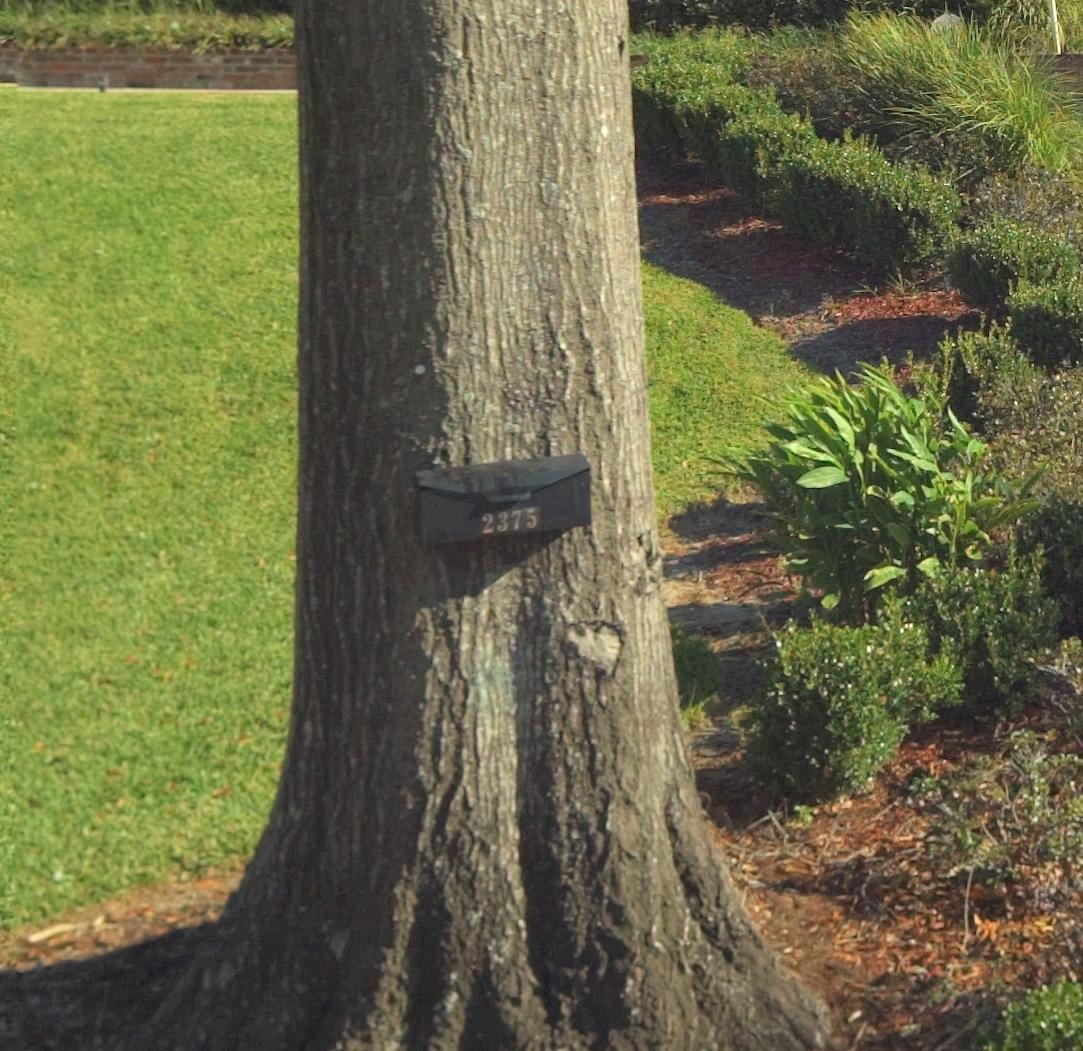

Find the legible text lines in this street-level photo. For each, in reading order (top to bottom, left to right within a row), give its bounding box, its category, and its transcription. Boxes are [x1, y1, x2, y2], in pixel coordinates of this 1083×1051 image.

[478, 504, 541, 538] StreetNumber: 2375